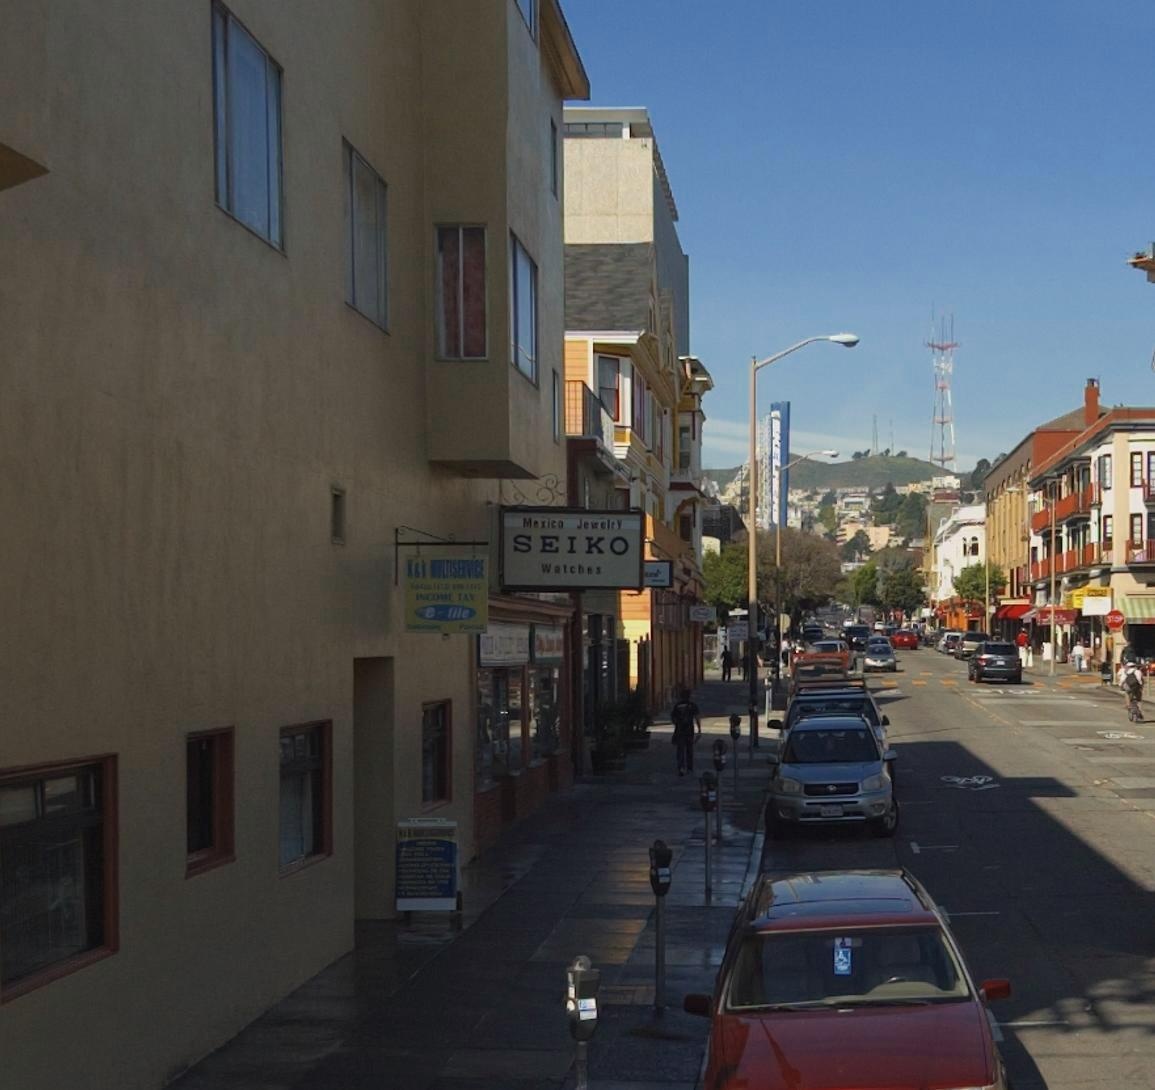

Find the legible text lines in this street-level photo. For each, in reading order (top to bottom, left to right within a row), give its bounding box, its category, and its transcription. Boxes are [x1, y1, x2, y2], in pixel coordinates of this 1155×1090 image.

[522, 516, 624, 531] None: Mexico Jewelry
[511, 533, 630, 556] BusinessName: Seiko Watches
[406, 558, 486, 581] None: K&k ***SERVICE
[540, 562, 602, 575] None: Watches
[414, 592, 476, 602] None: INCOME TAX
[423, 606, 470, 619] None: e-file
[1106, 615, 1124, 623] None: STOP